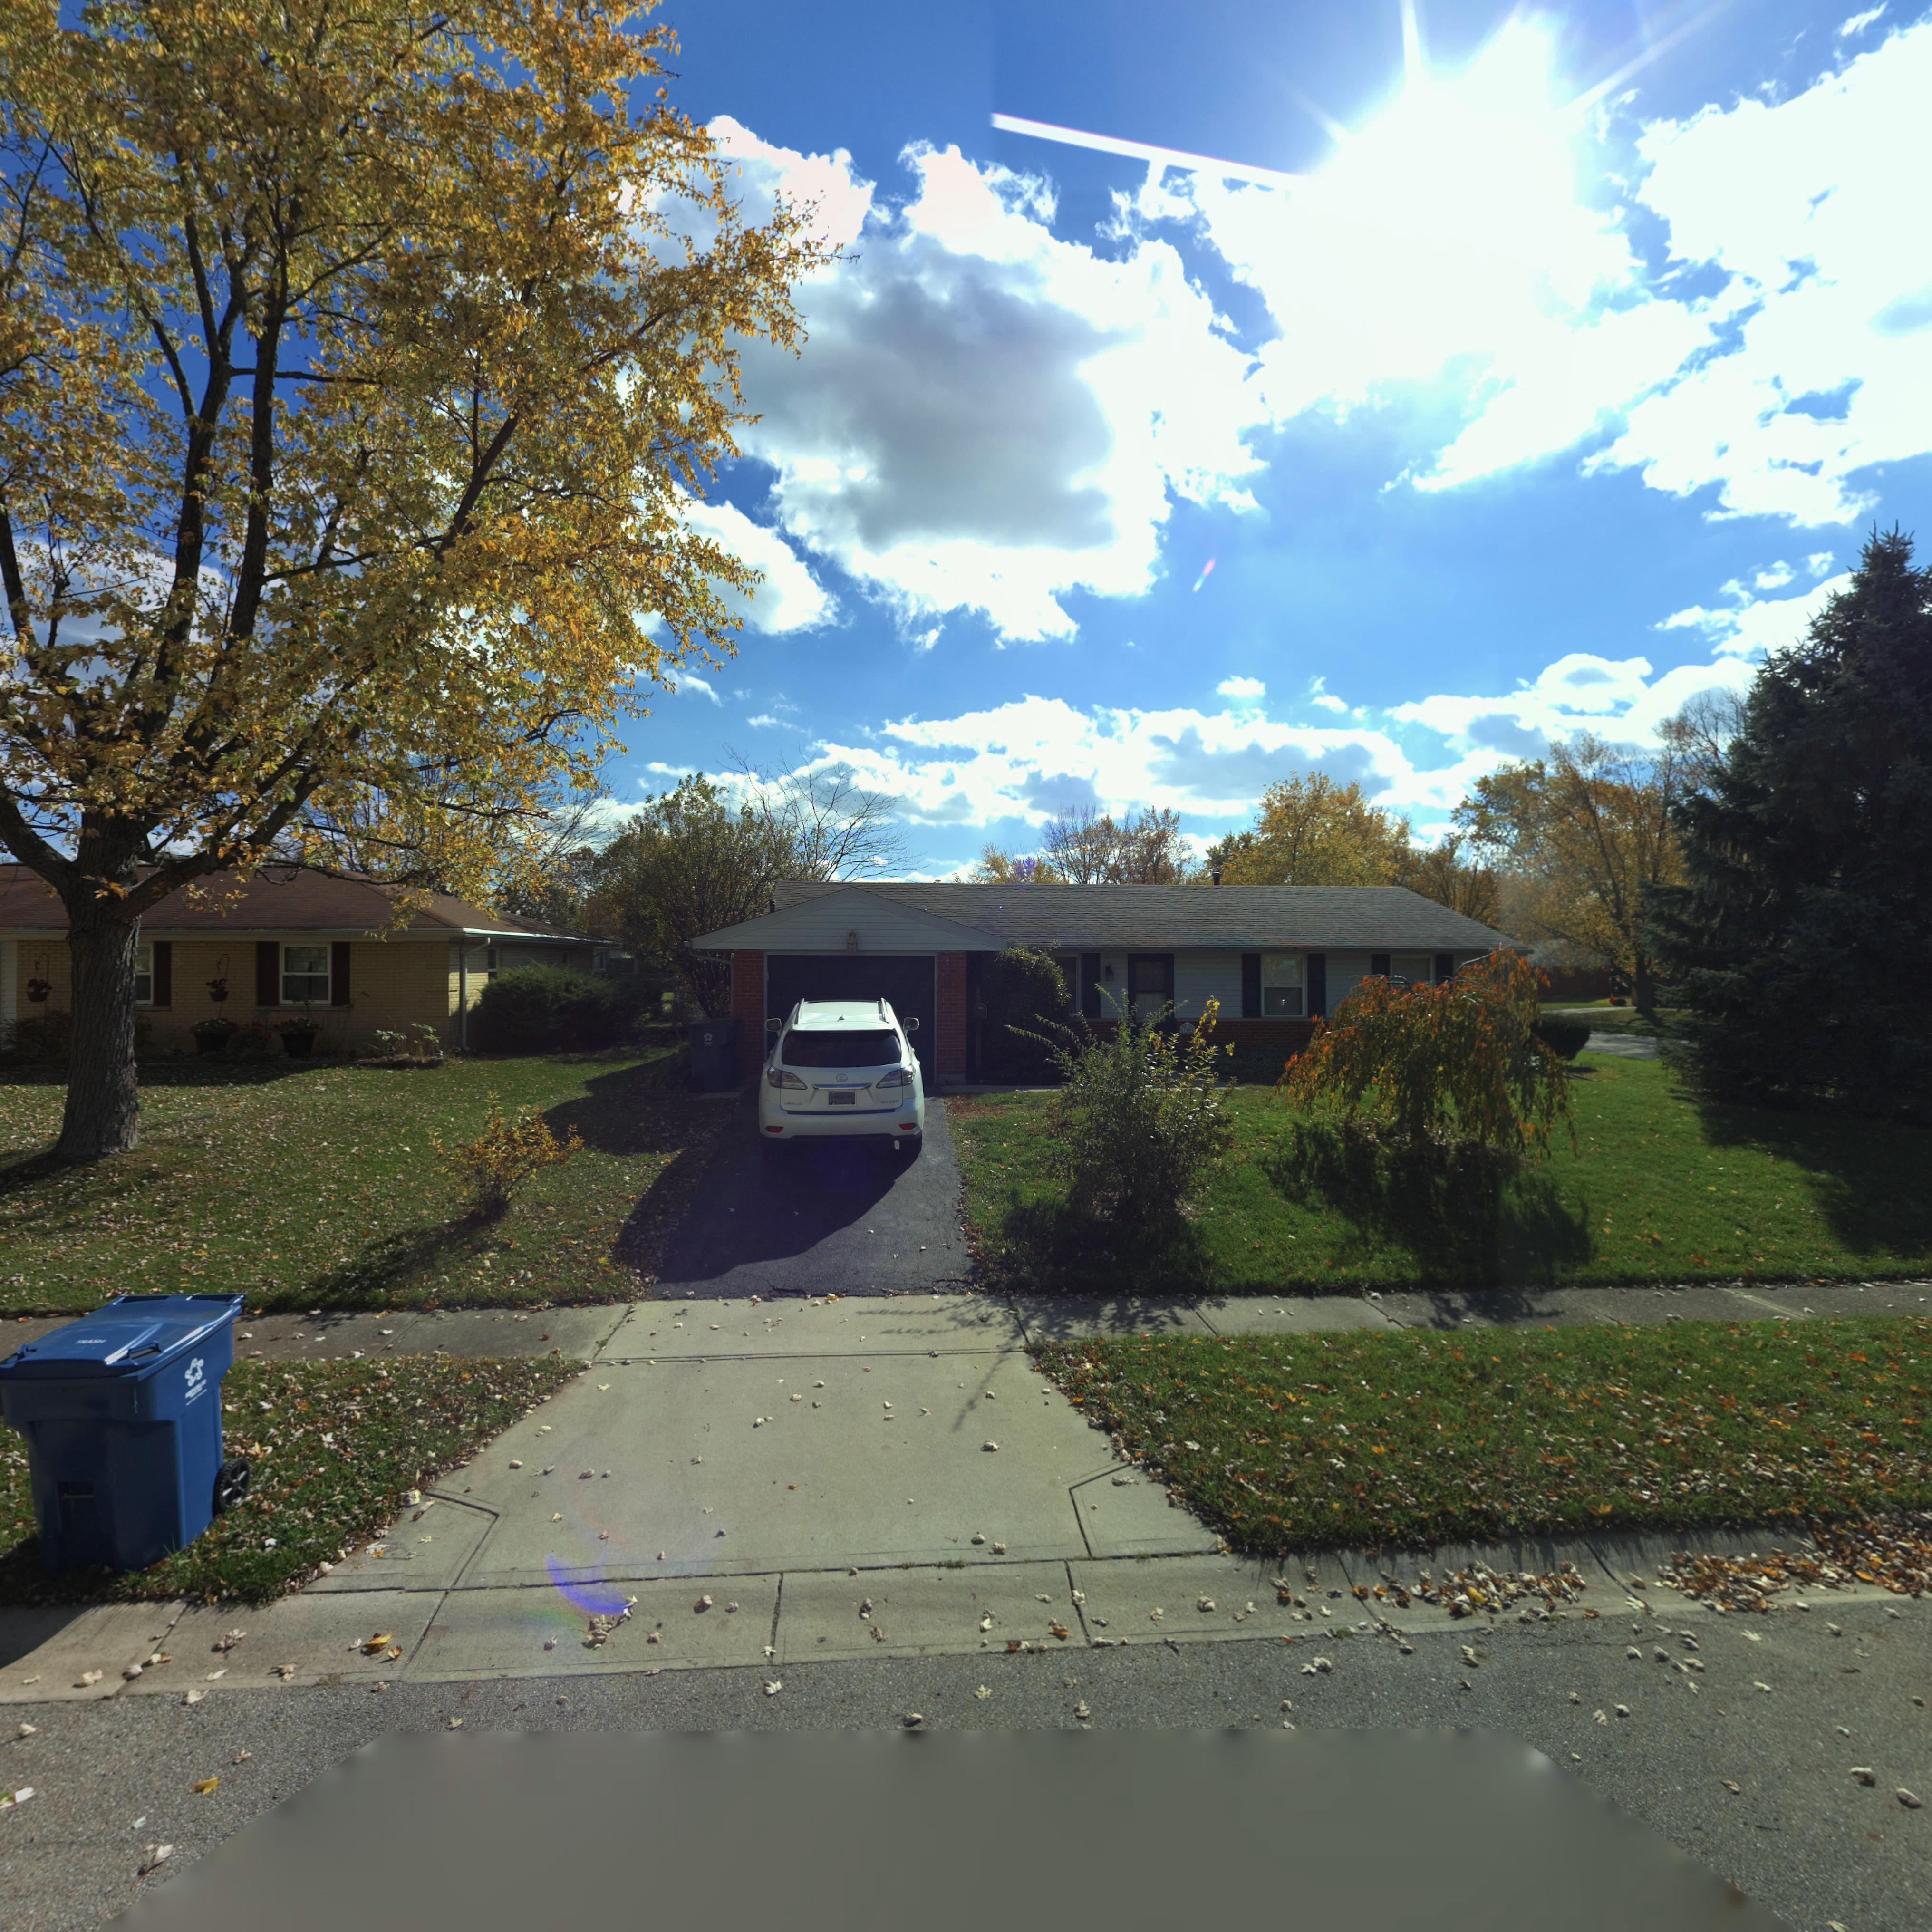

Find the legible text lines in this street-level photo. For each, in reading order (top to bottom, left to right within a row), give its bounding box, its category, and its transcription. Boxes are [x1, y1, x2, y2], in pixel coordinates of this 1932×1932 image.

[1180, 1027, 1194, 1033] StreetNumber: 67*02